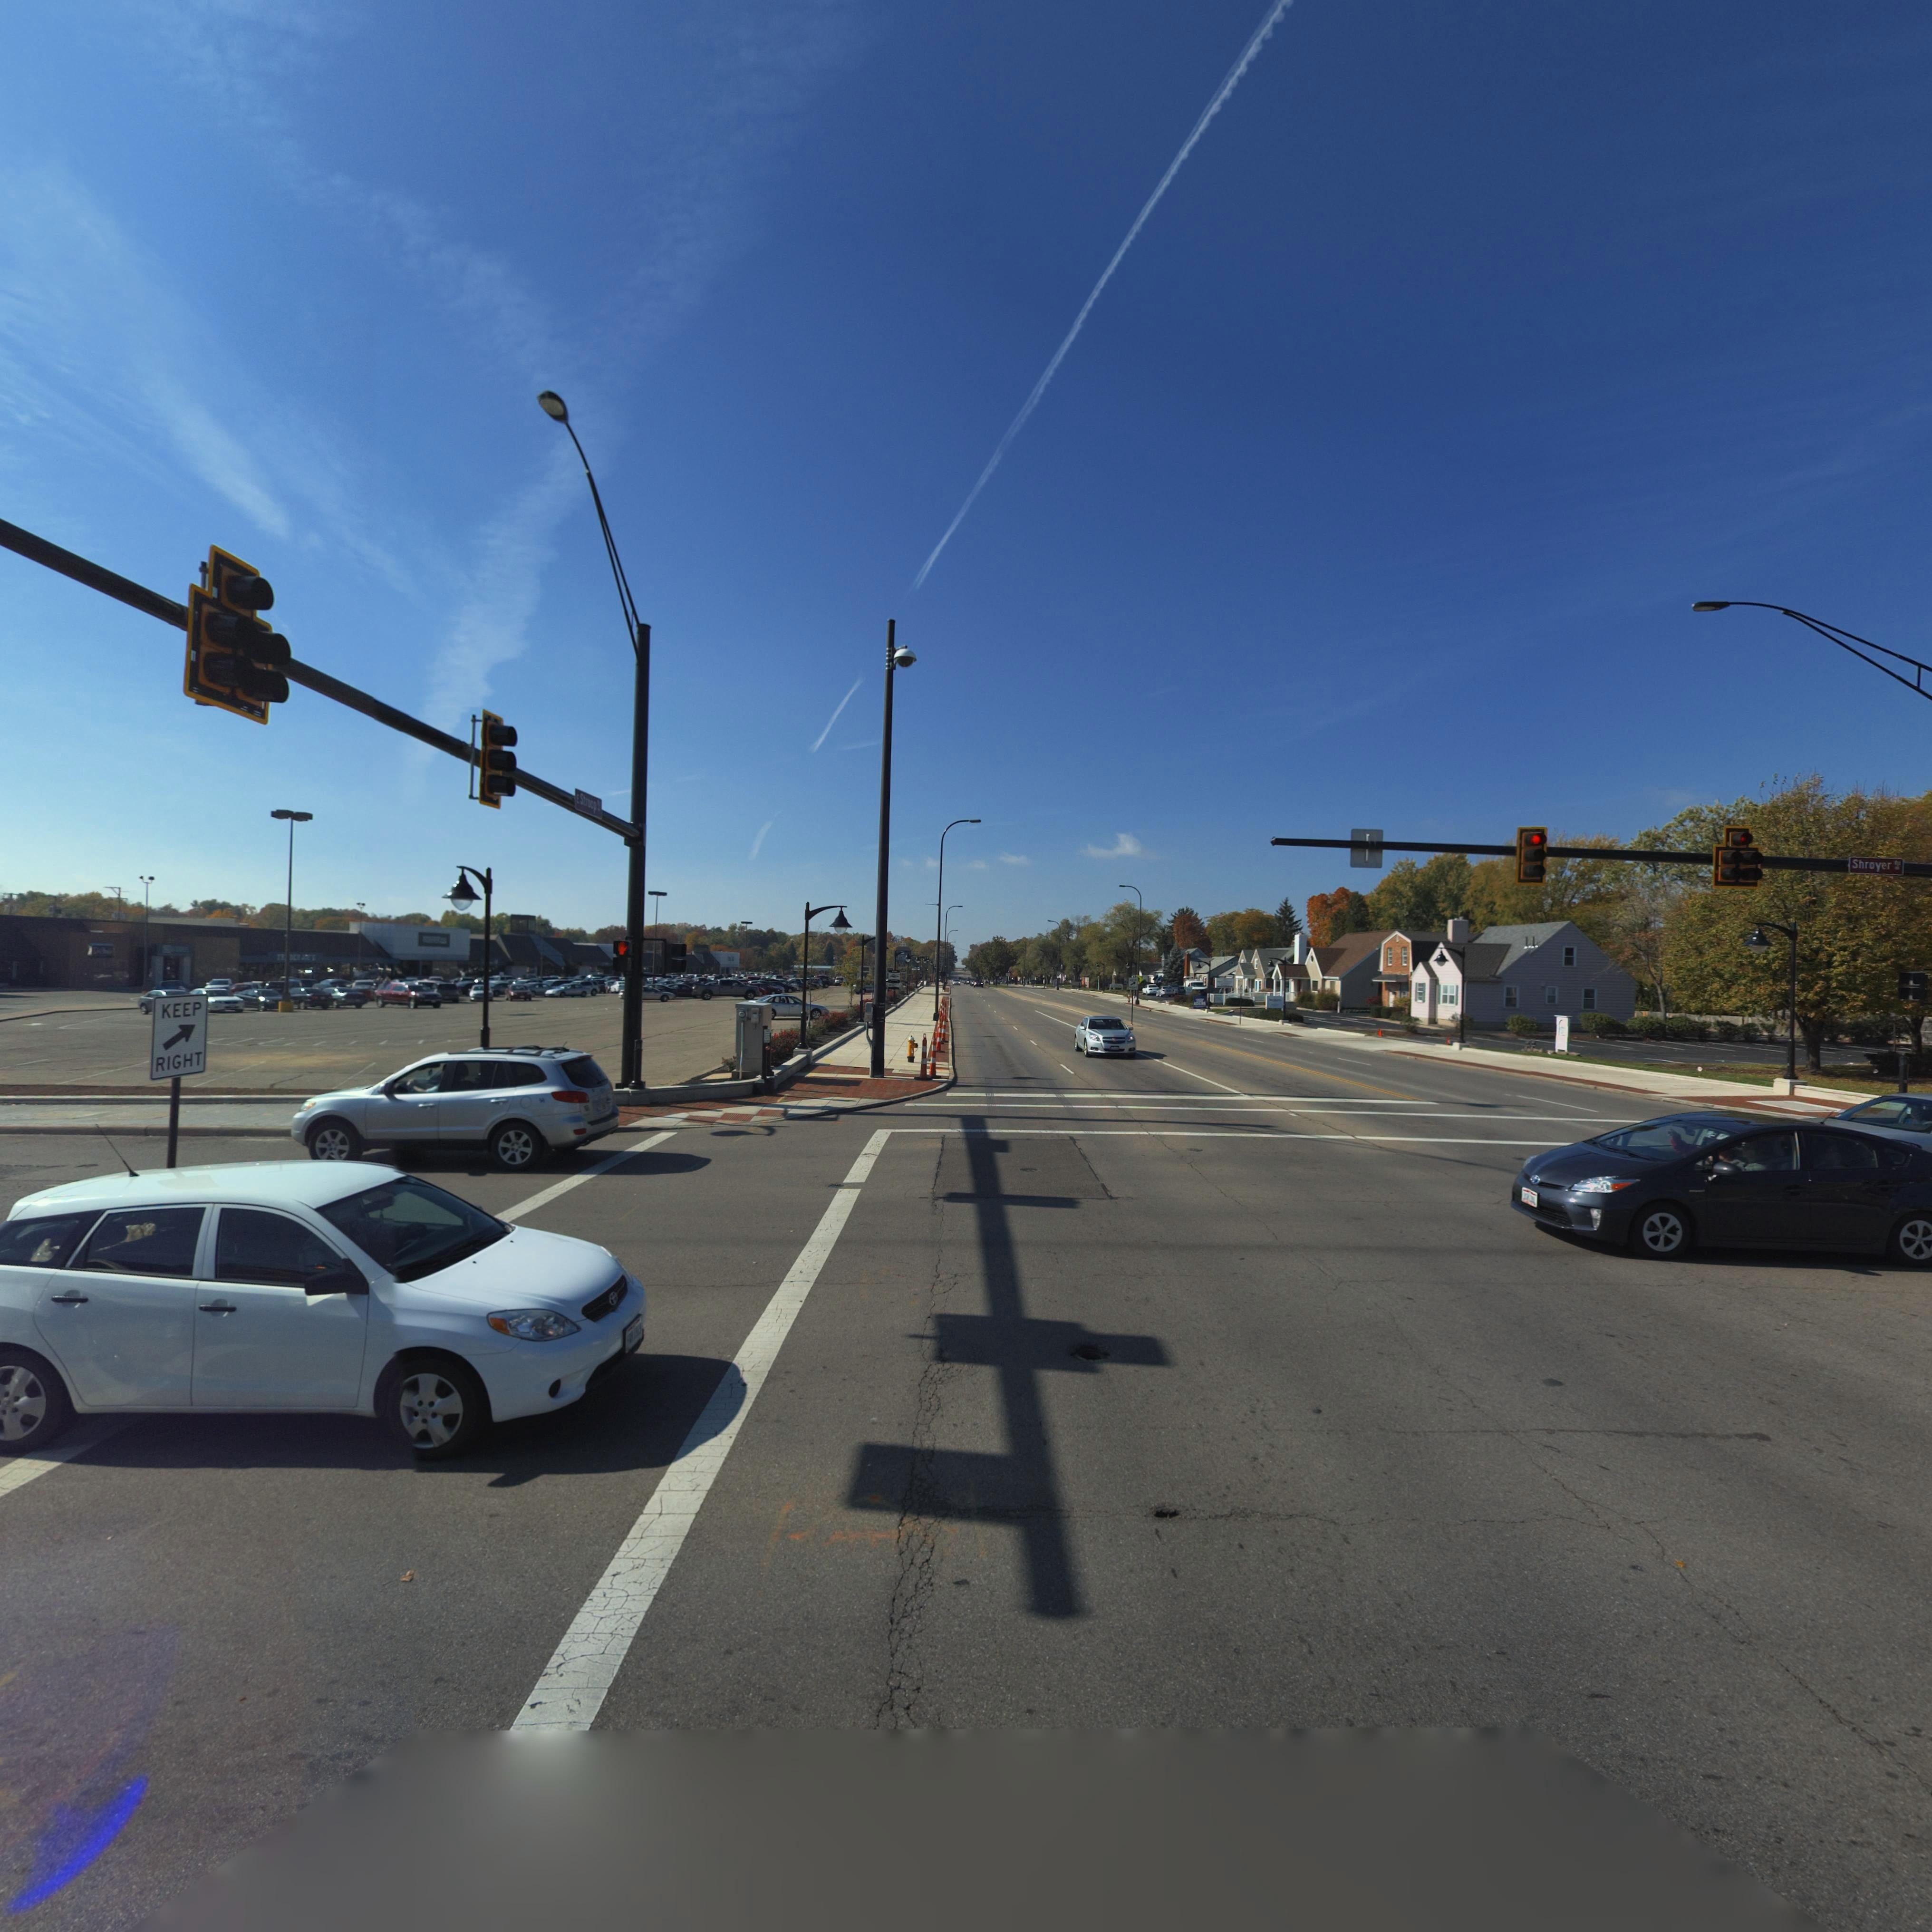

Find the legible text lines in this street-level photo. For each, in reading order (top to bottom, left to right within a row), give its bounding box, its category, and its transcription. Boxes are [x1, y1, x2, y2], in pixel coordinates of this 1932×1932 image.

[576, 792, 597, 815] StreetName: E Stroop
[1851, 858, 1893, 872] StreetName: Shroyer
[277, 954, 316, 961] BusinessName: TR*DE* JOE'S
[161, 1002, 202, 1019] None: KEEP
[155, 1051, 203, 1073] None: RIGHT